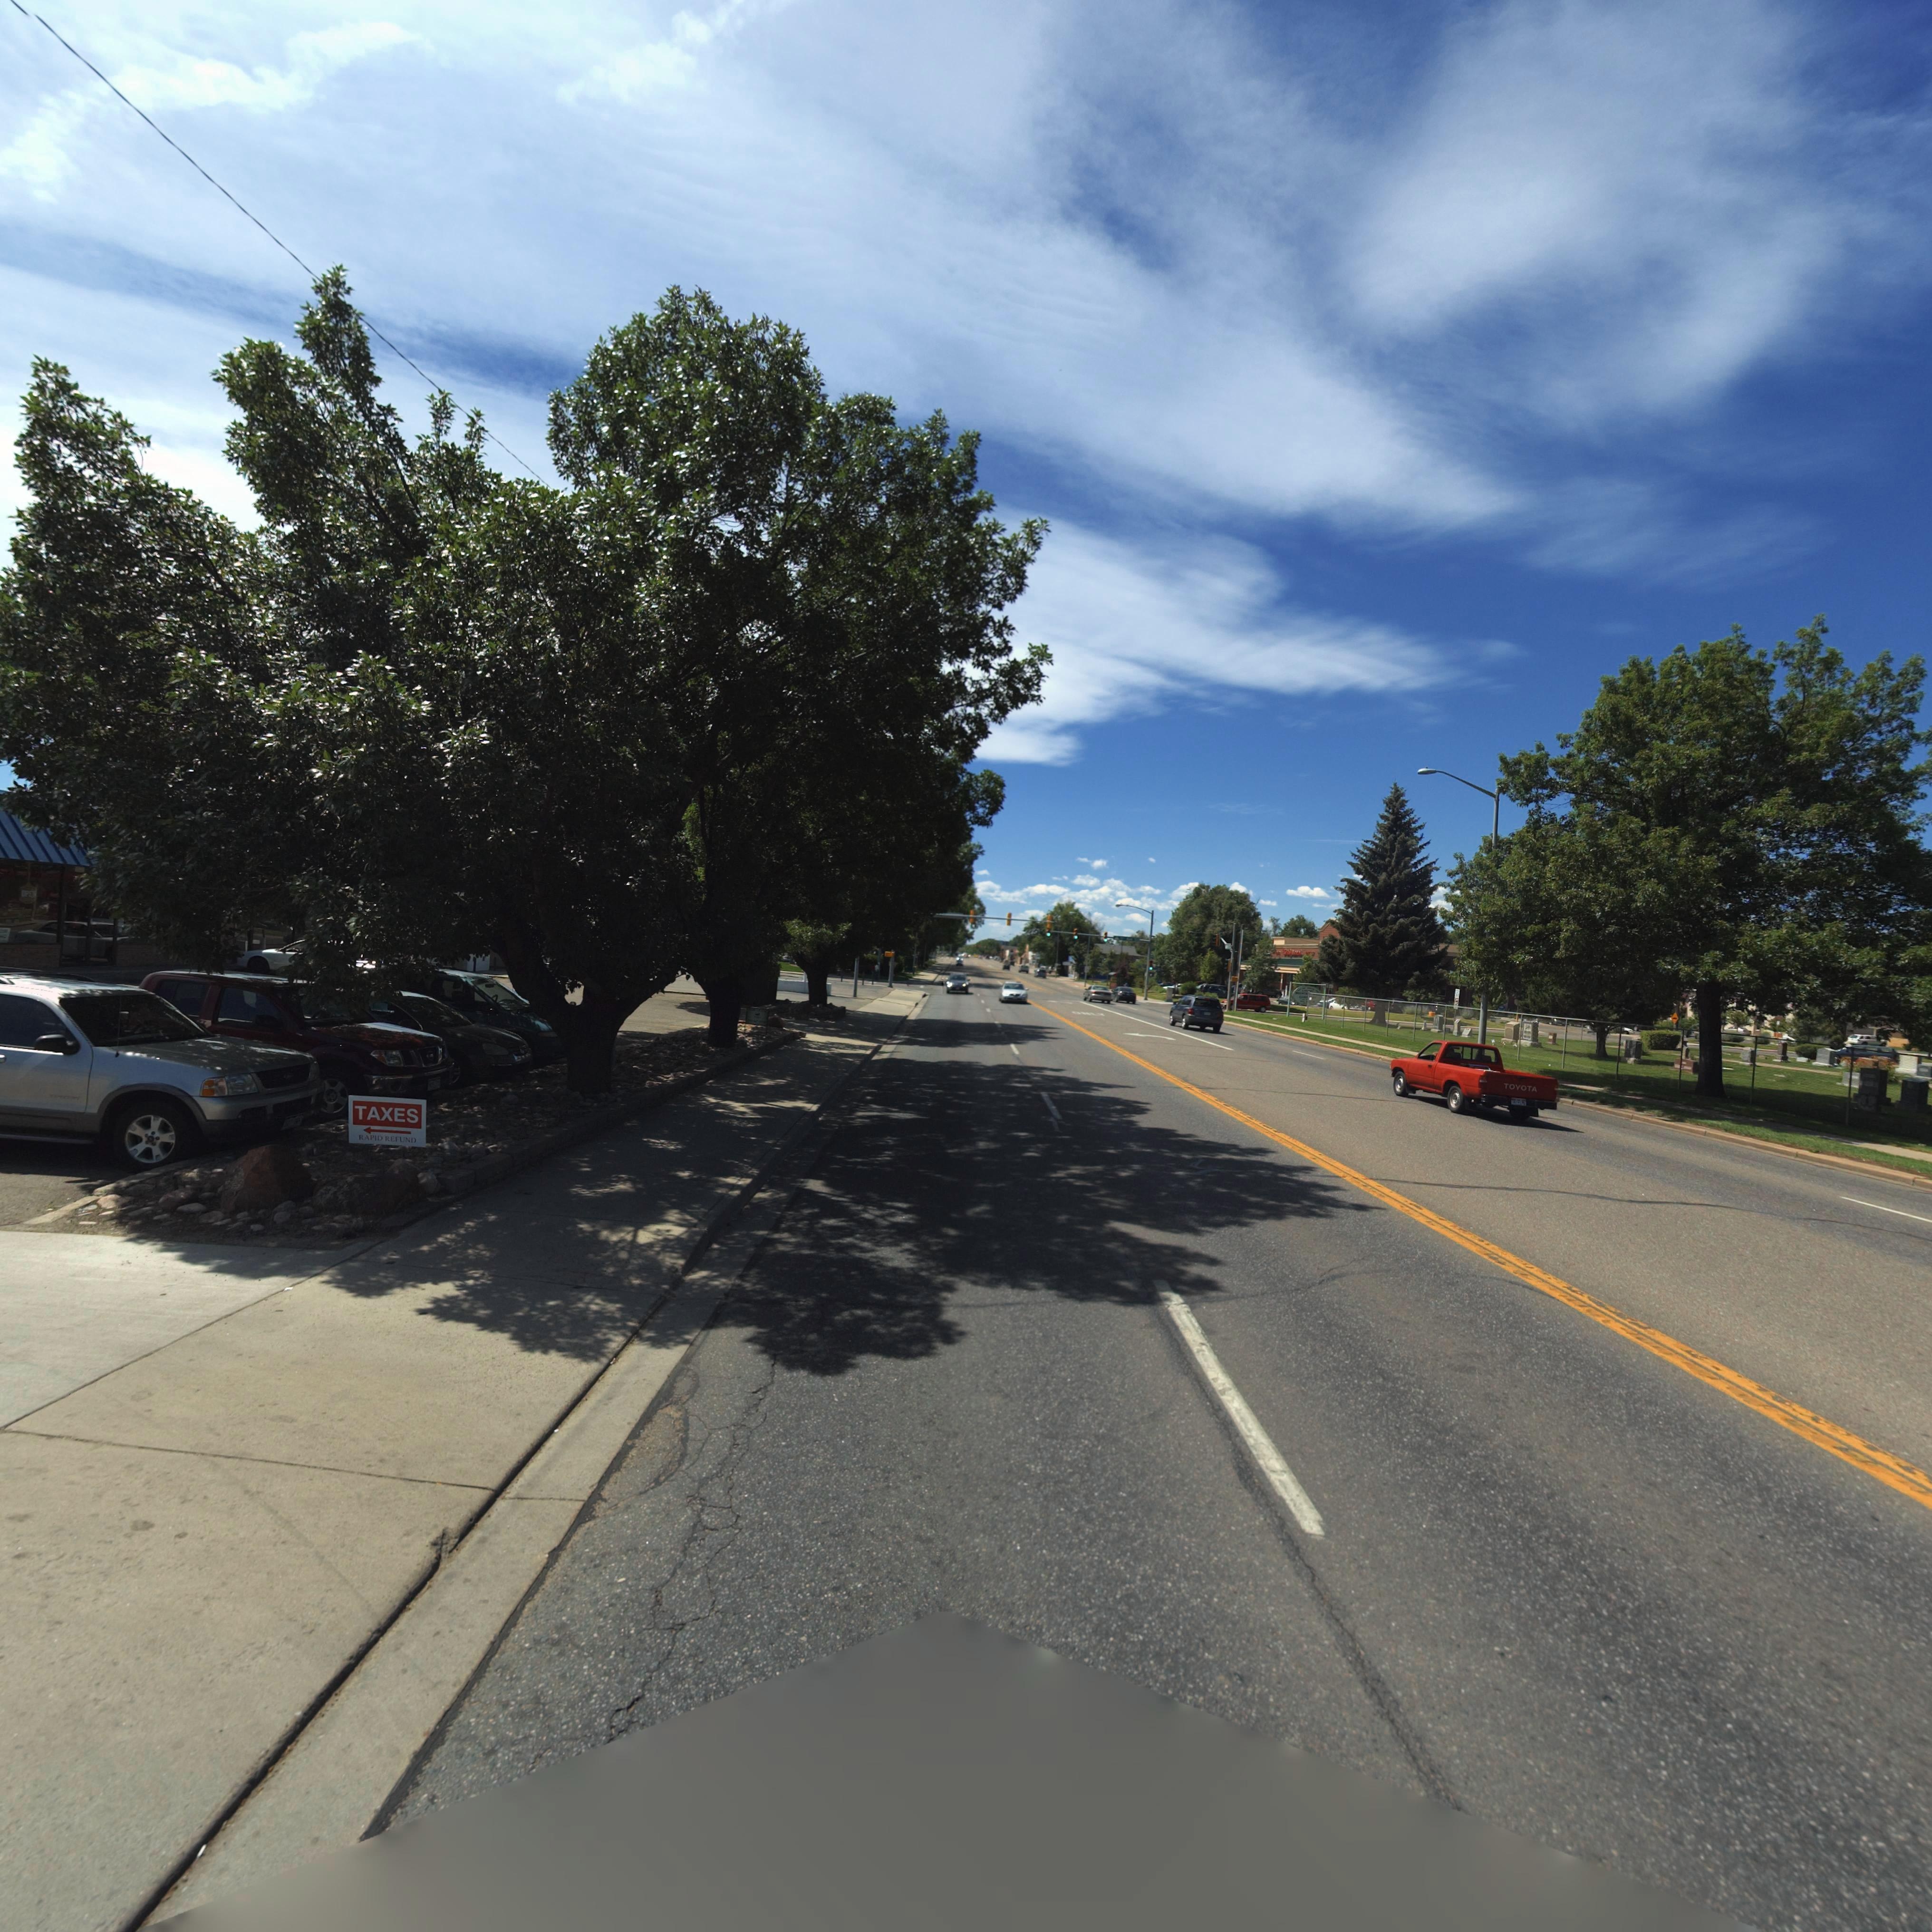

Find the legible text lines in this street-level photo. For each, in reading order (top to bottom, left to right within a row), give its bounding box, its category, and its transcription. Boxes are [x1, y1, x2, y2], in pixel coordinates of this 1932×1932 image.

[1282, 949, 1302, 958] BusinessName: ********s